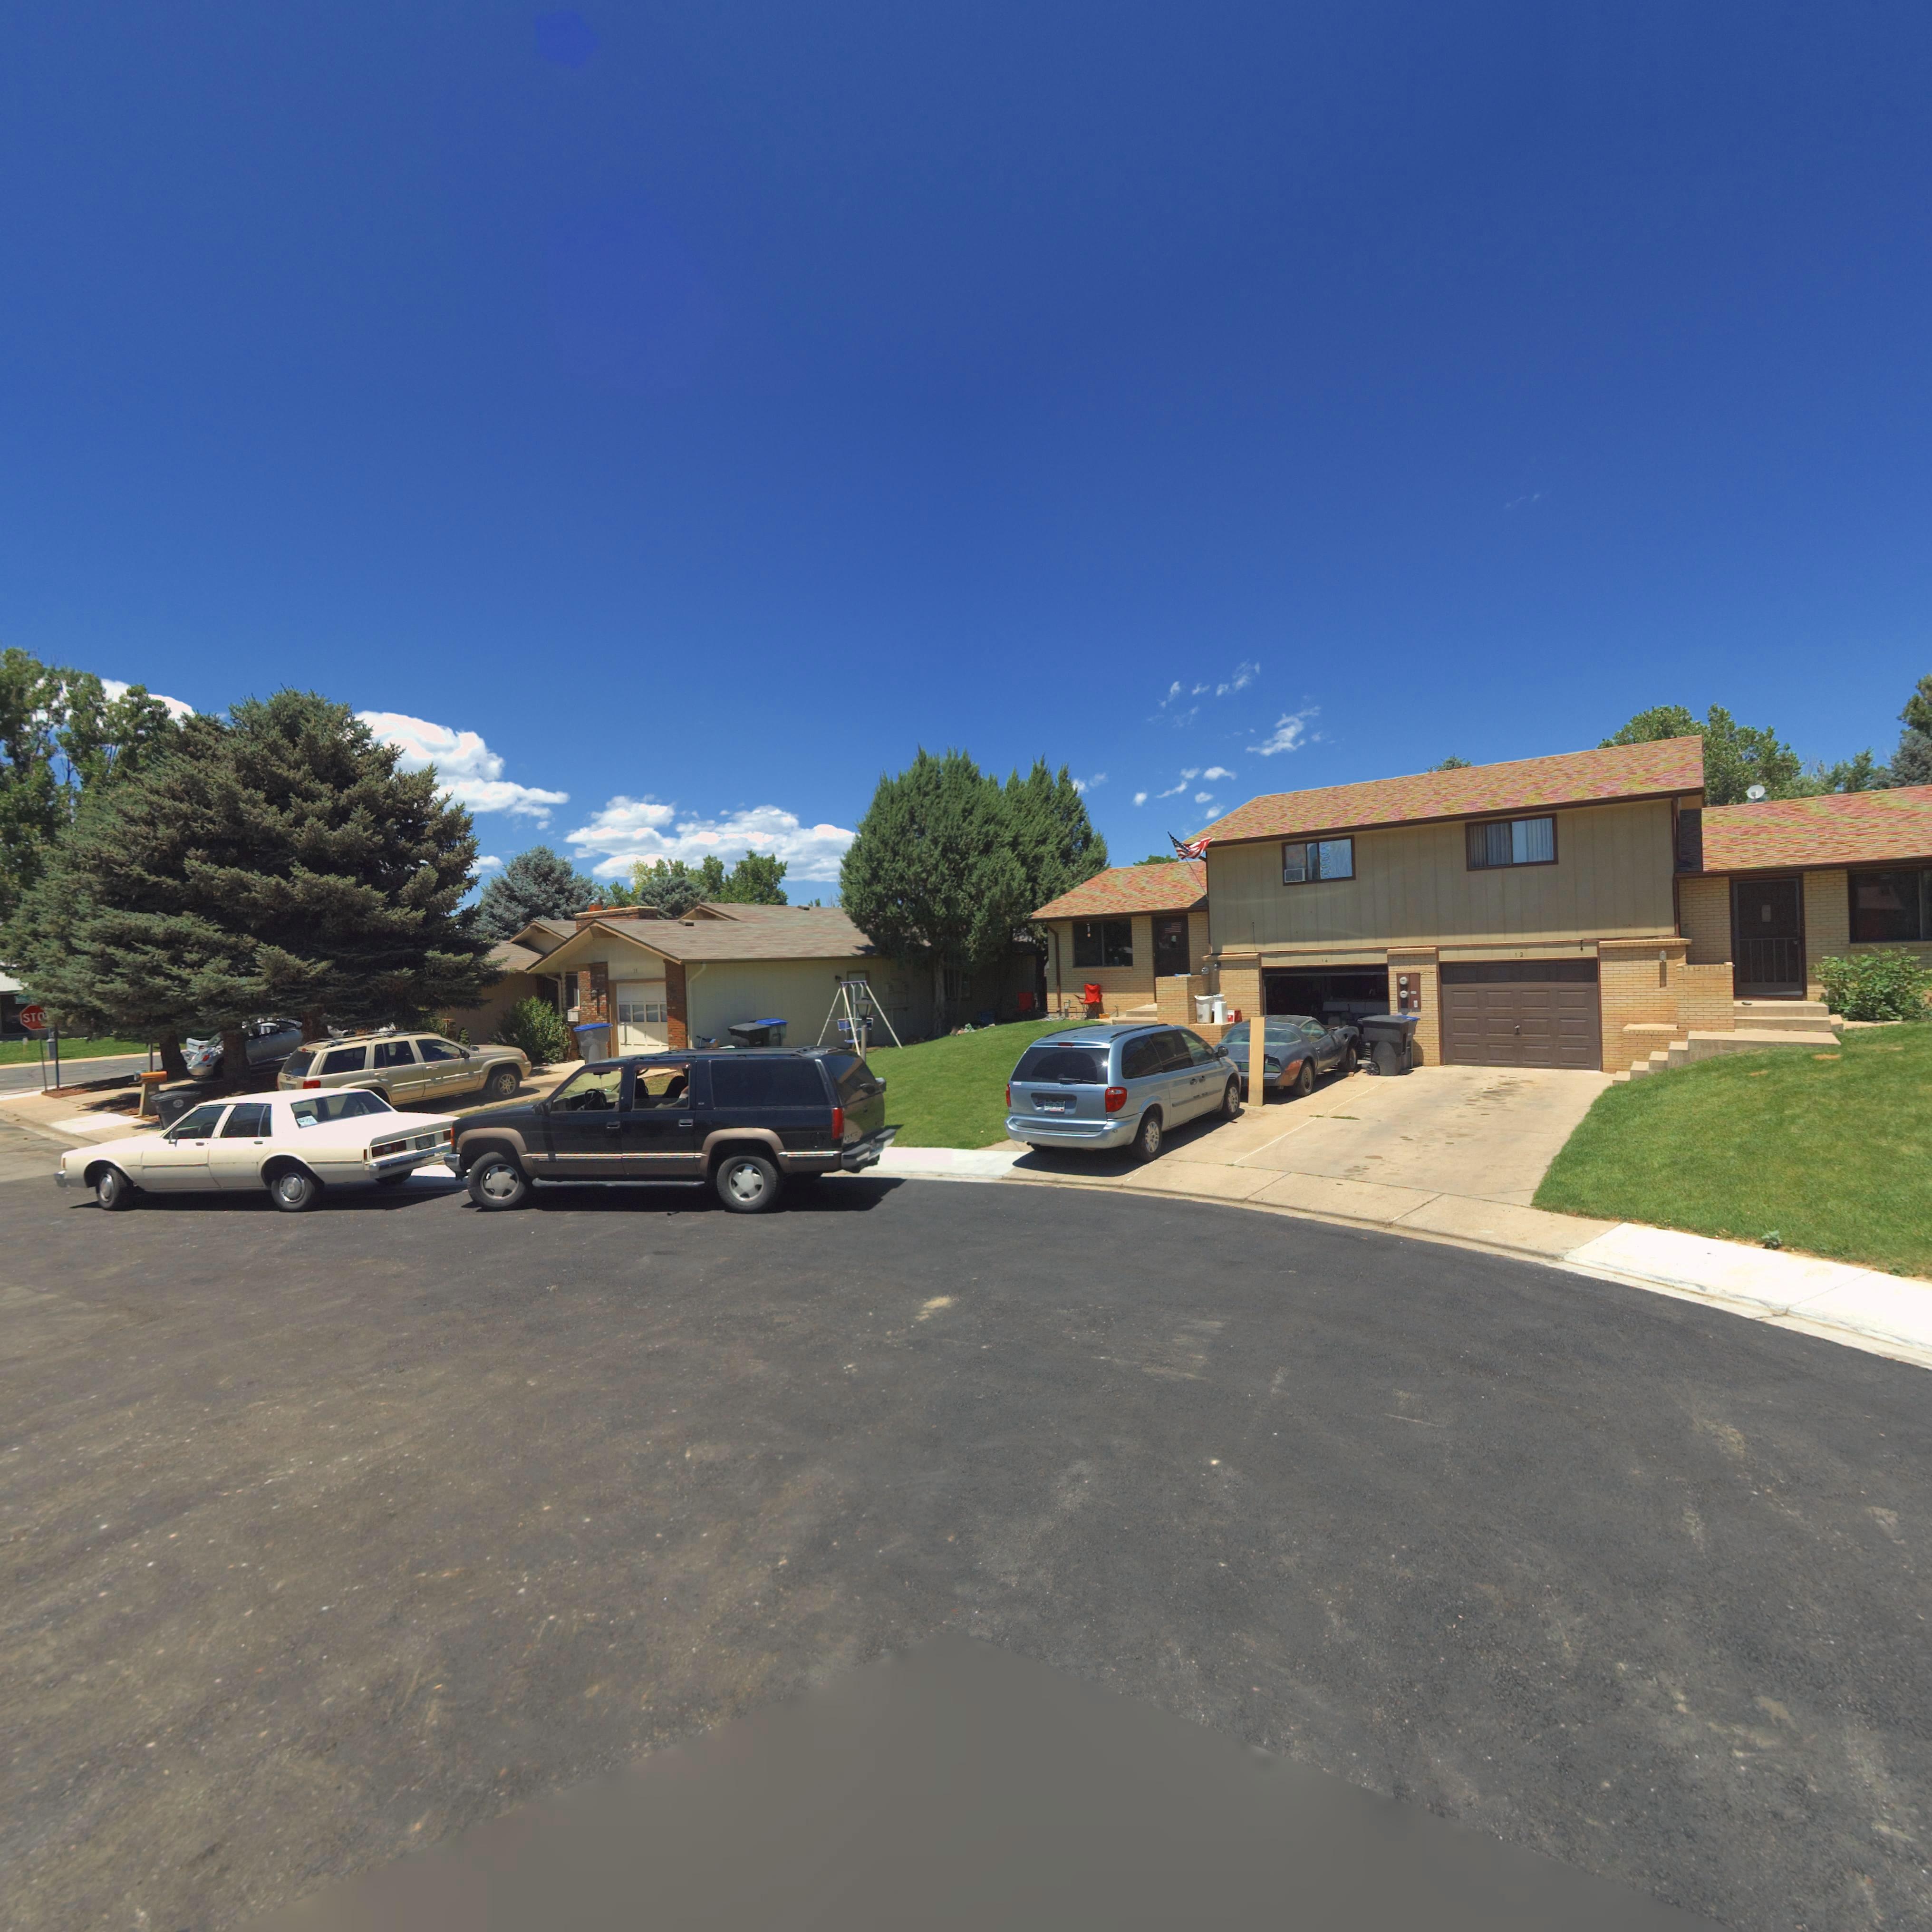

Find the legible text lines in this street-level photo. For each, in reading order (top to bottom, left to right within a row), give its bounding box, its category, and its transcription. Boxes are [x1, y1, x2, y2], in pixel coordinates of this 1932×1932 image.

[1515, 952, 1524, 957] StreetNumber: 12
[1322, 958, 1328, 963] StreetNumber: 14
[633, 968, 638, 974] StreetNumber: 1*
[15, 995, 31, 1003] StreetName: Me*